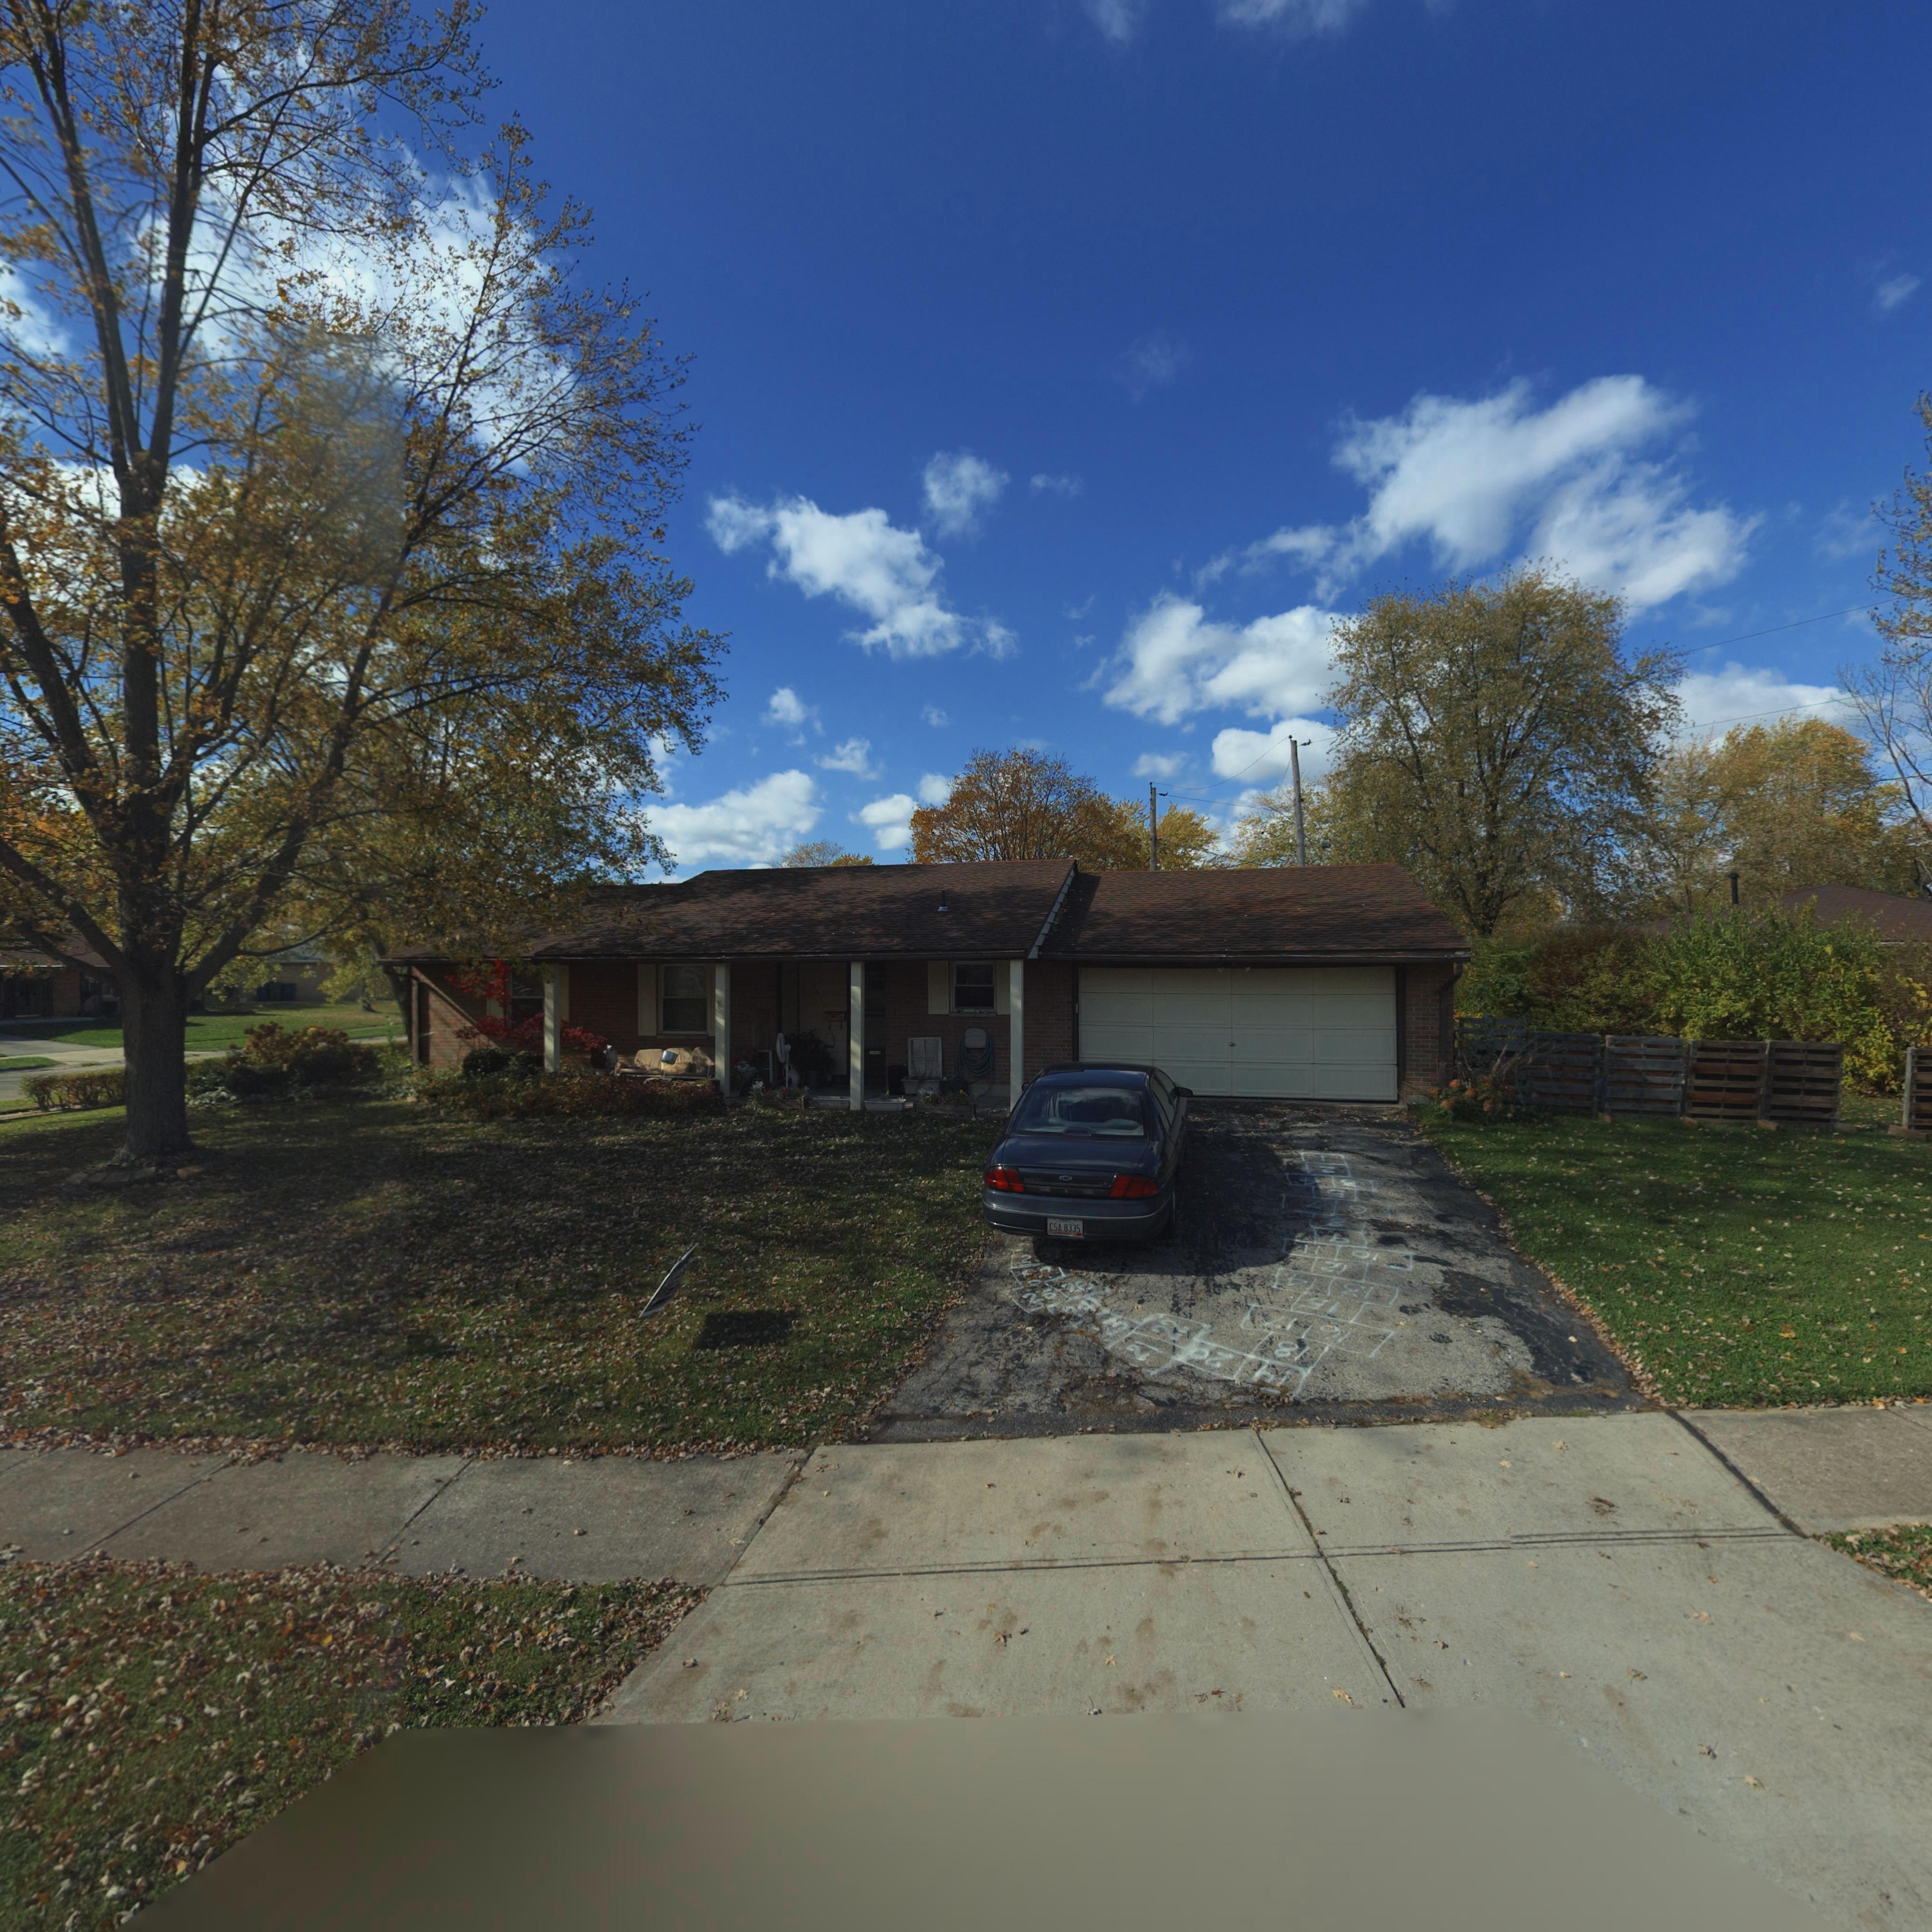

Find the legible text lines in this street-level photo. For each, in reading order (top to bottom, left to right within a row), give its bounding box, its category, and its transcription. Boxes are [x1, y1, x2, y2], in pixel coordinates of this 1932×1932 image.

[811, 984, 826, 1009] StreetNumber: 7611